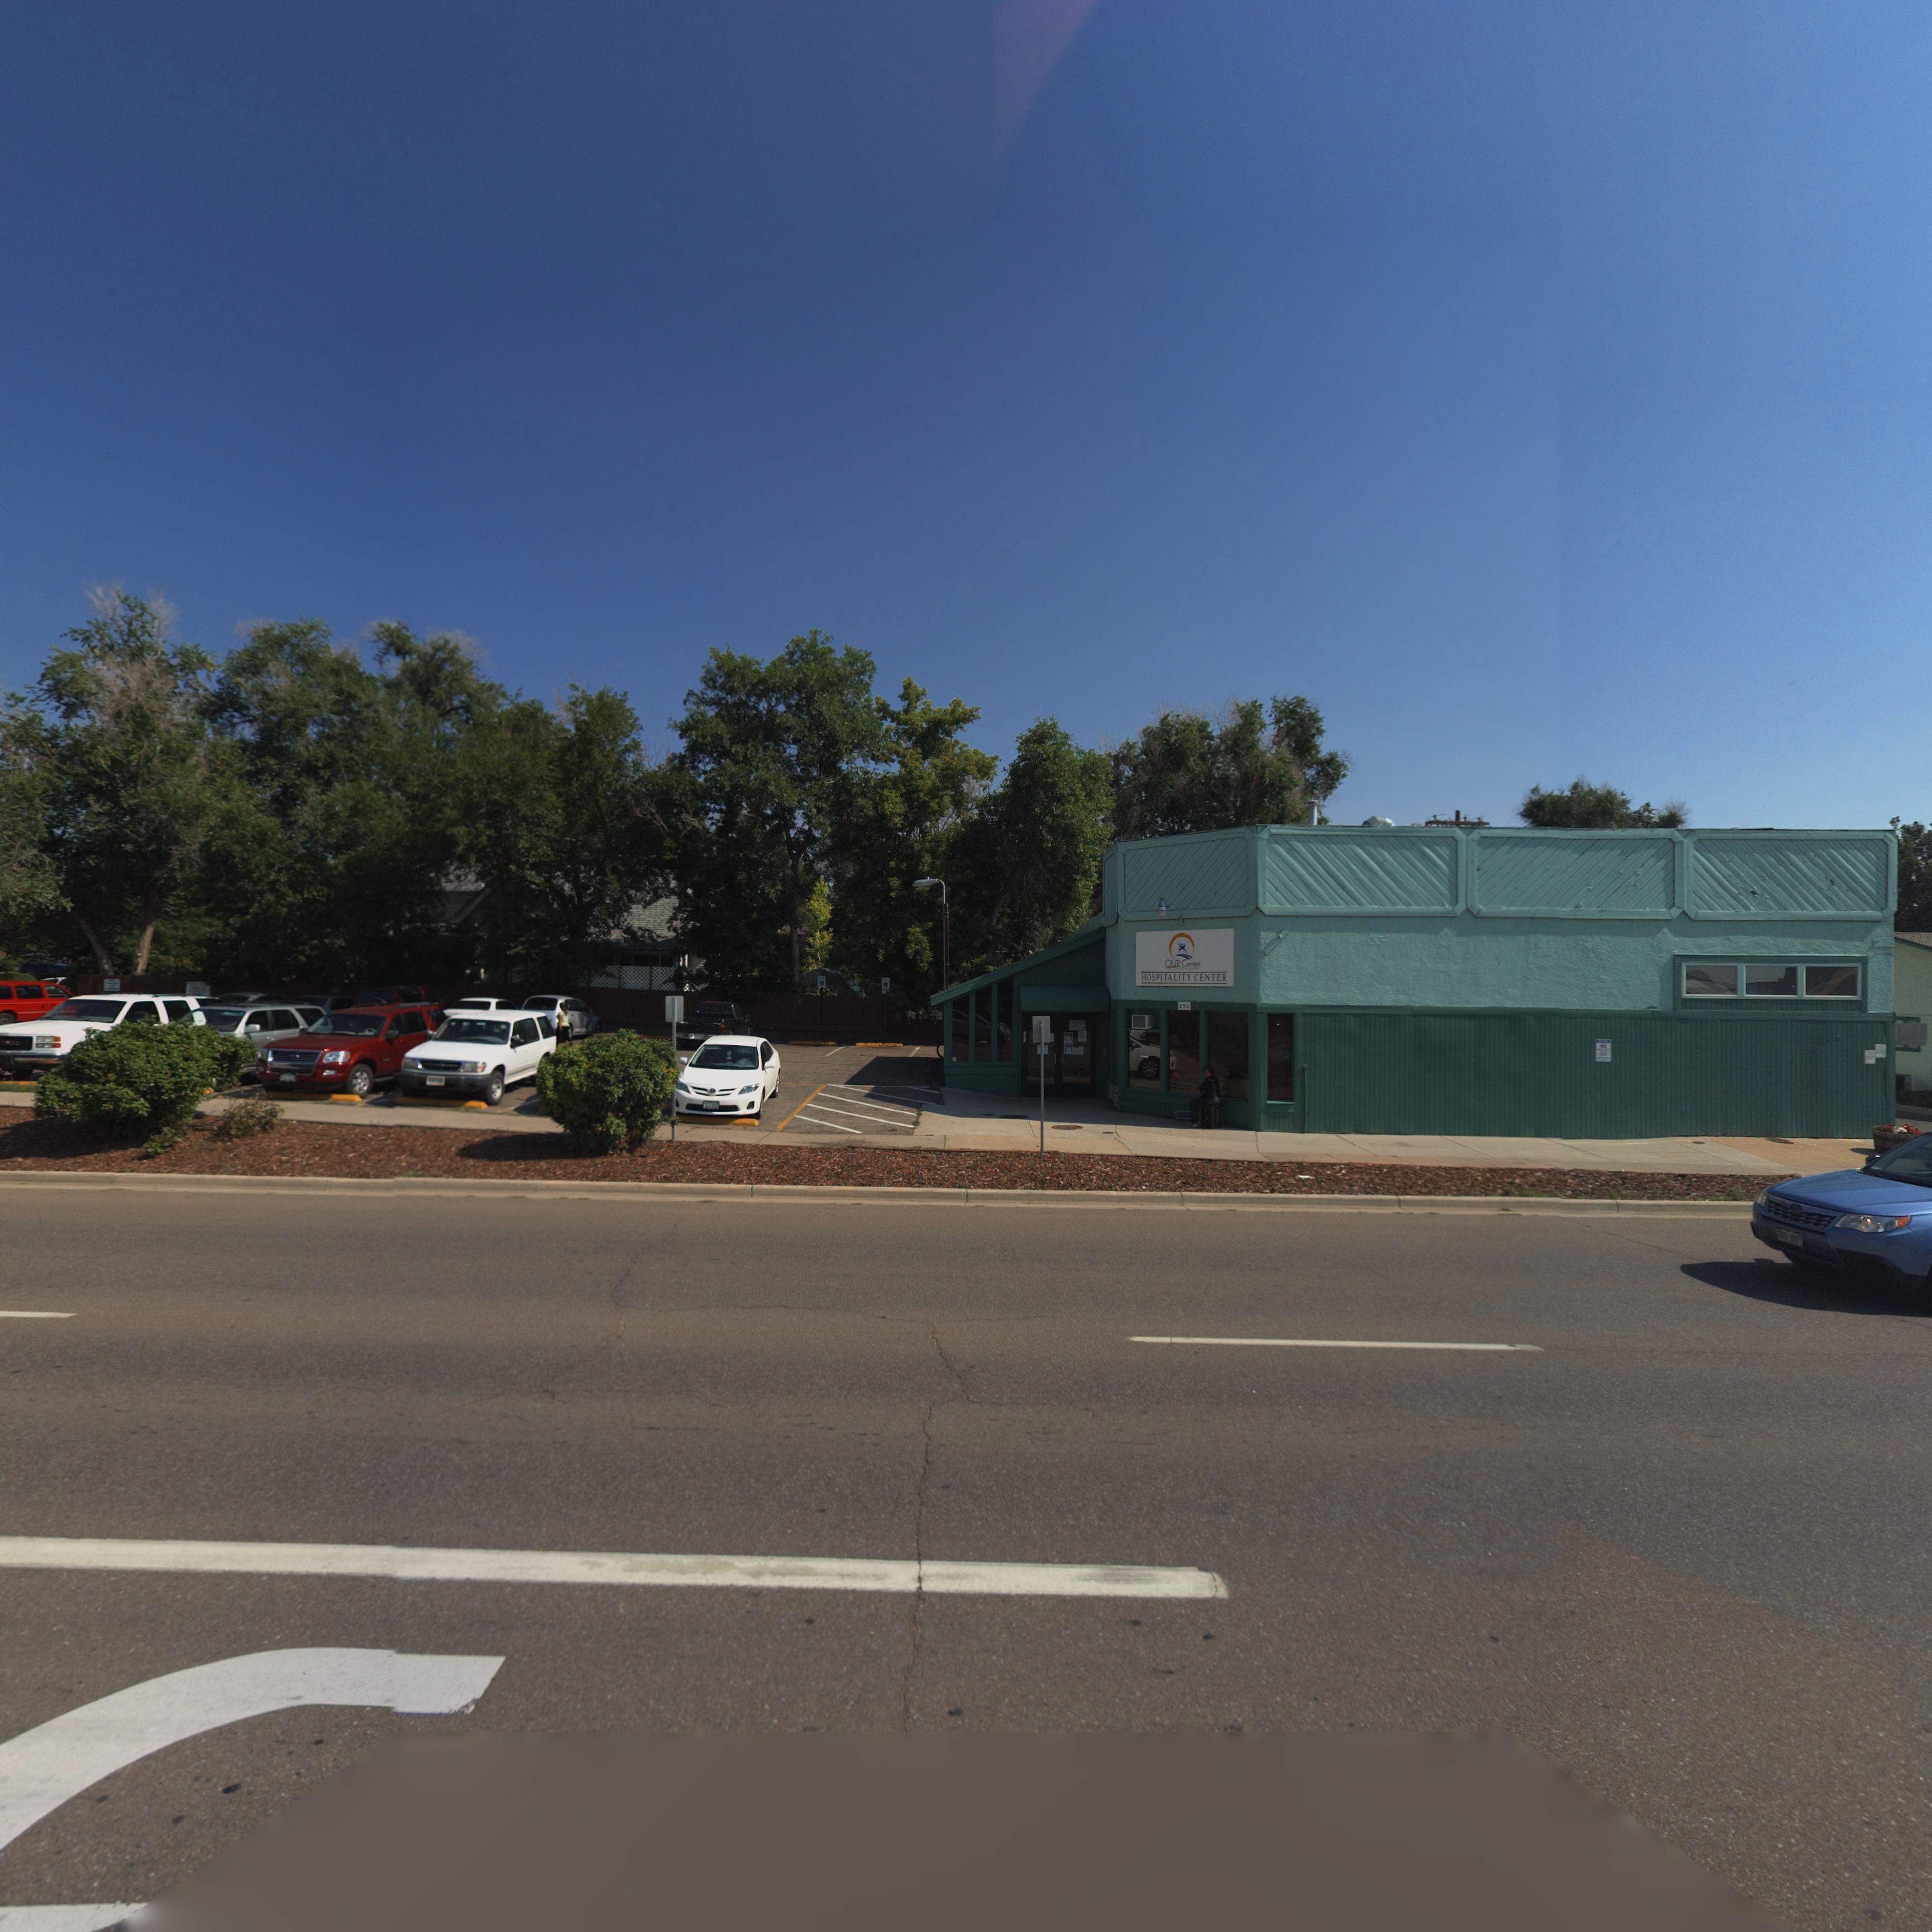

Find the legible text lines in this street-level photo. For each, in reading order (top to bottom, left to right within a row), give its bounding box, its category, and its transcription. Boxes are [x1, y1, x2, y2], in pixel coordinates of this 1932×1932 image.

[1164, 958, 1202, 967] BusinessName: OUR Center
[1141, 973, 1227, 981] BusinessName: HOSPITALITY CENTER
[1179, 1003, 1190, 1009] StreetNumber: 250